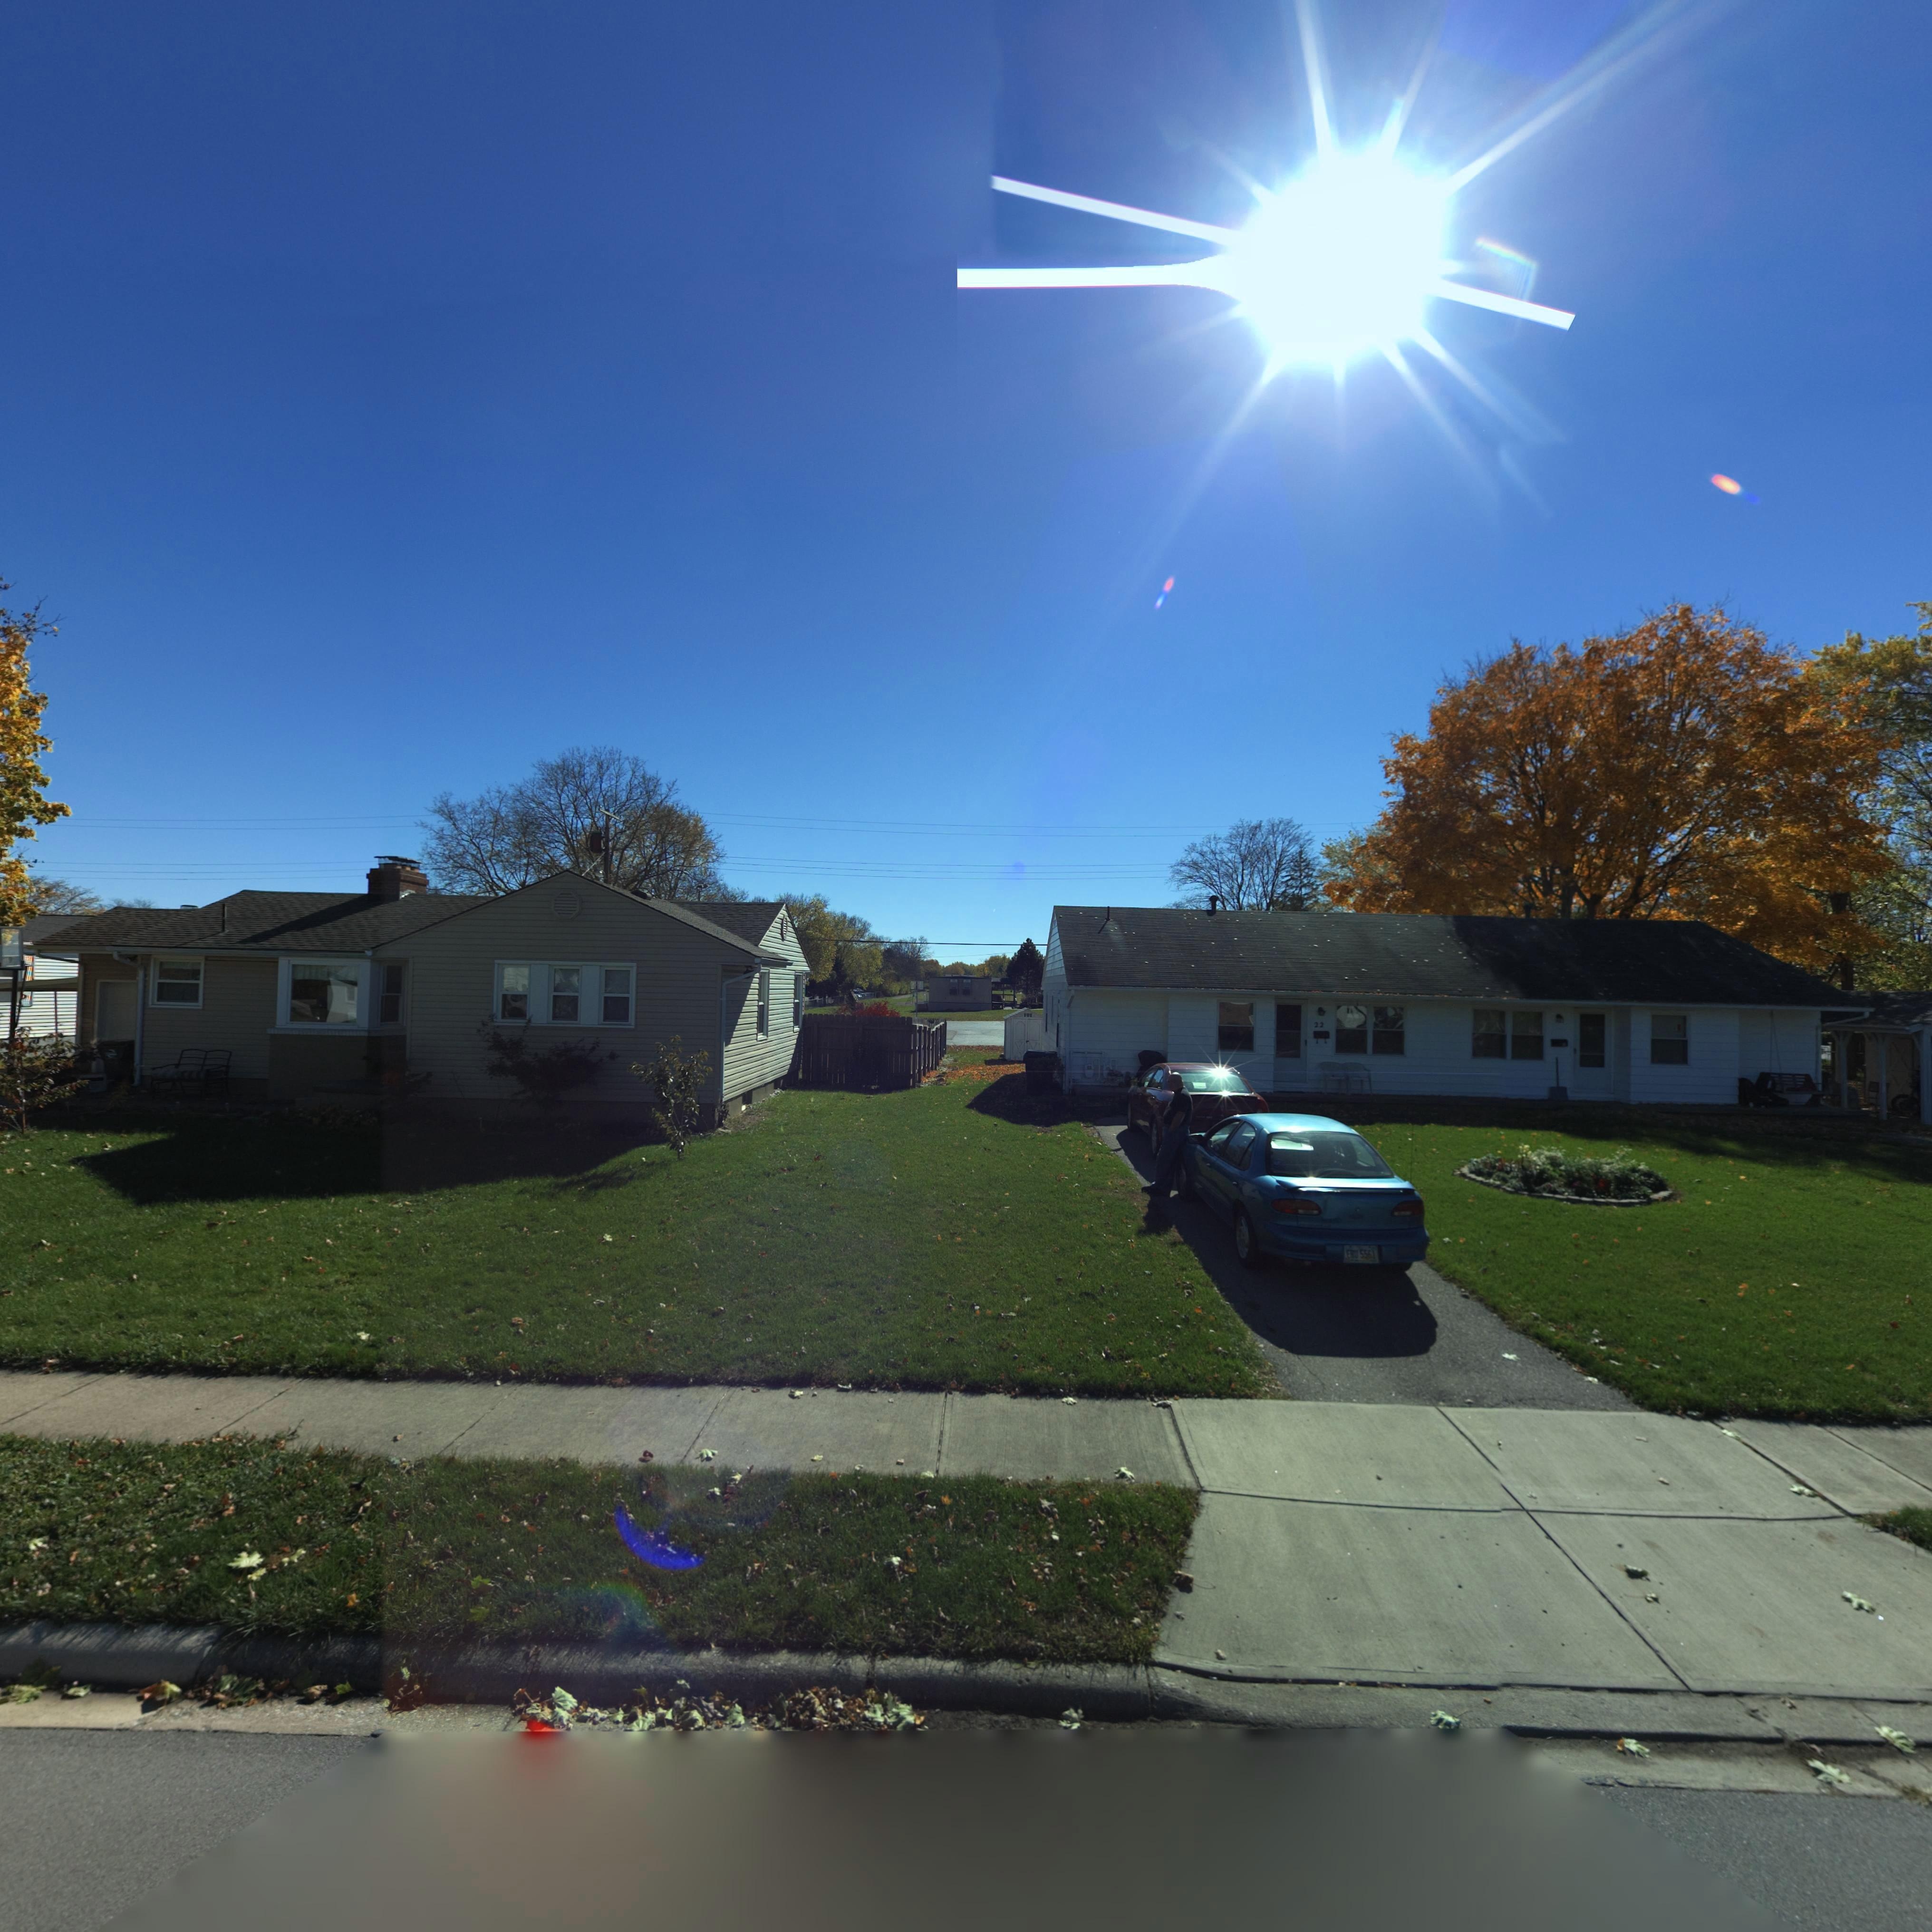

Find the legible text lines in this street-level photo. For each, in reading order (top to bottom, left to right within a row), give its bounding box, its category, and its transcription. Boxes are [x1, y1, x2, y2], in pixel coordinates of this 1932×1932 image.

[1312, 1021, 1325, 1029] StreetNumber: 22
[1345, 1248, 1377, 1260] None: E*U*55*1